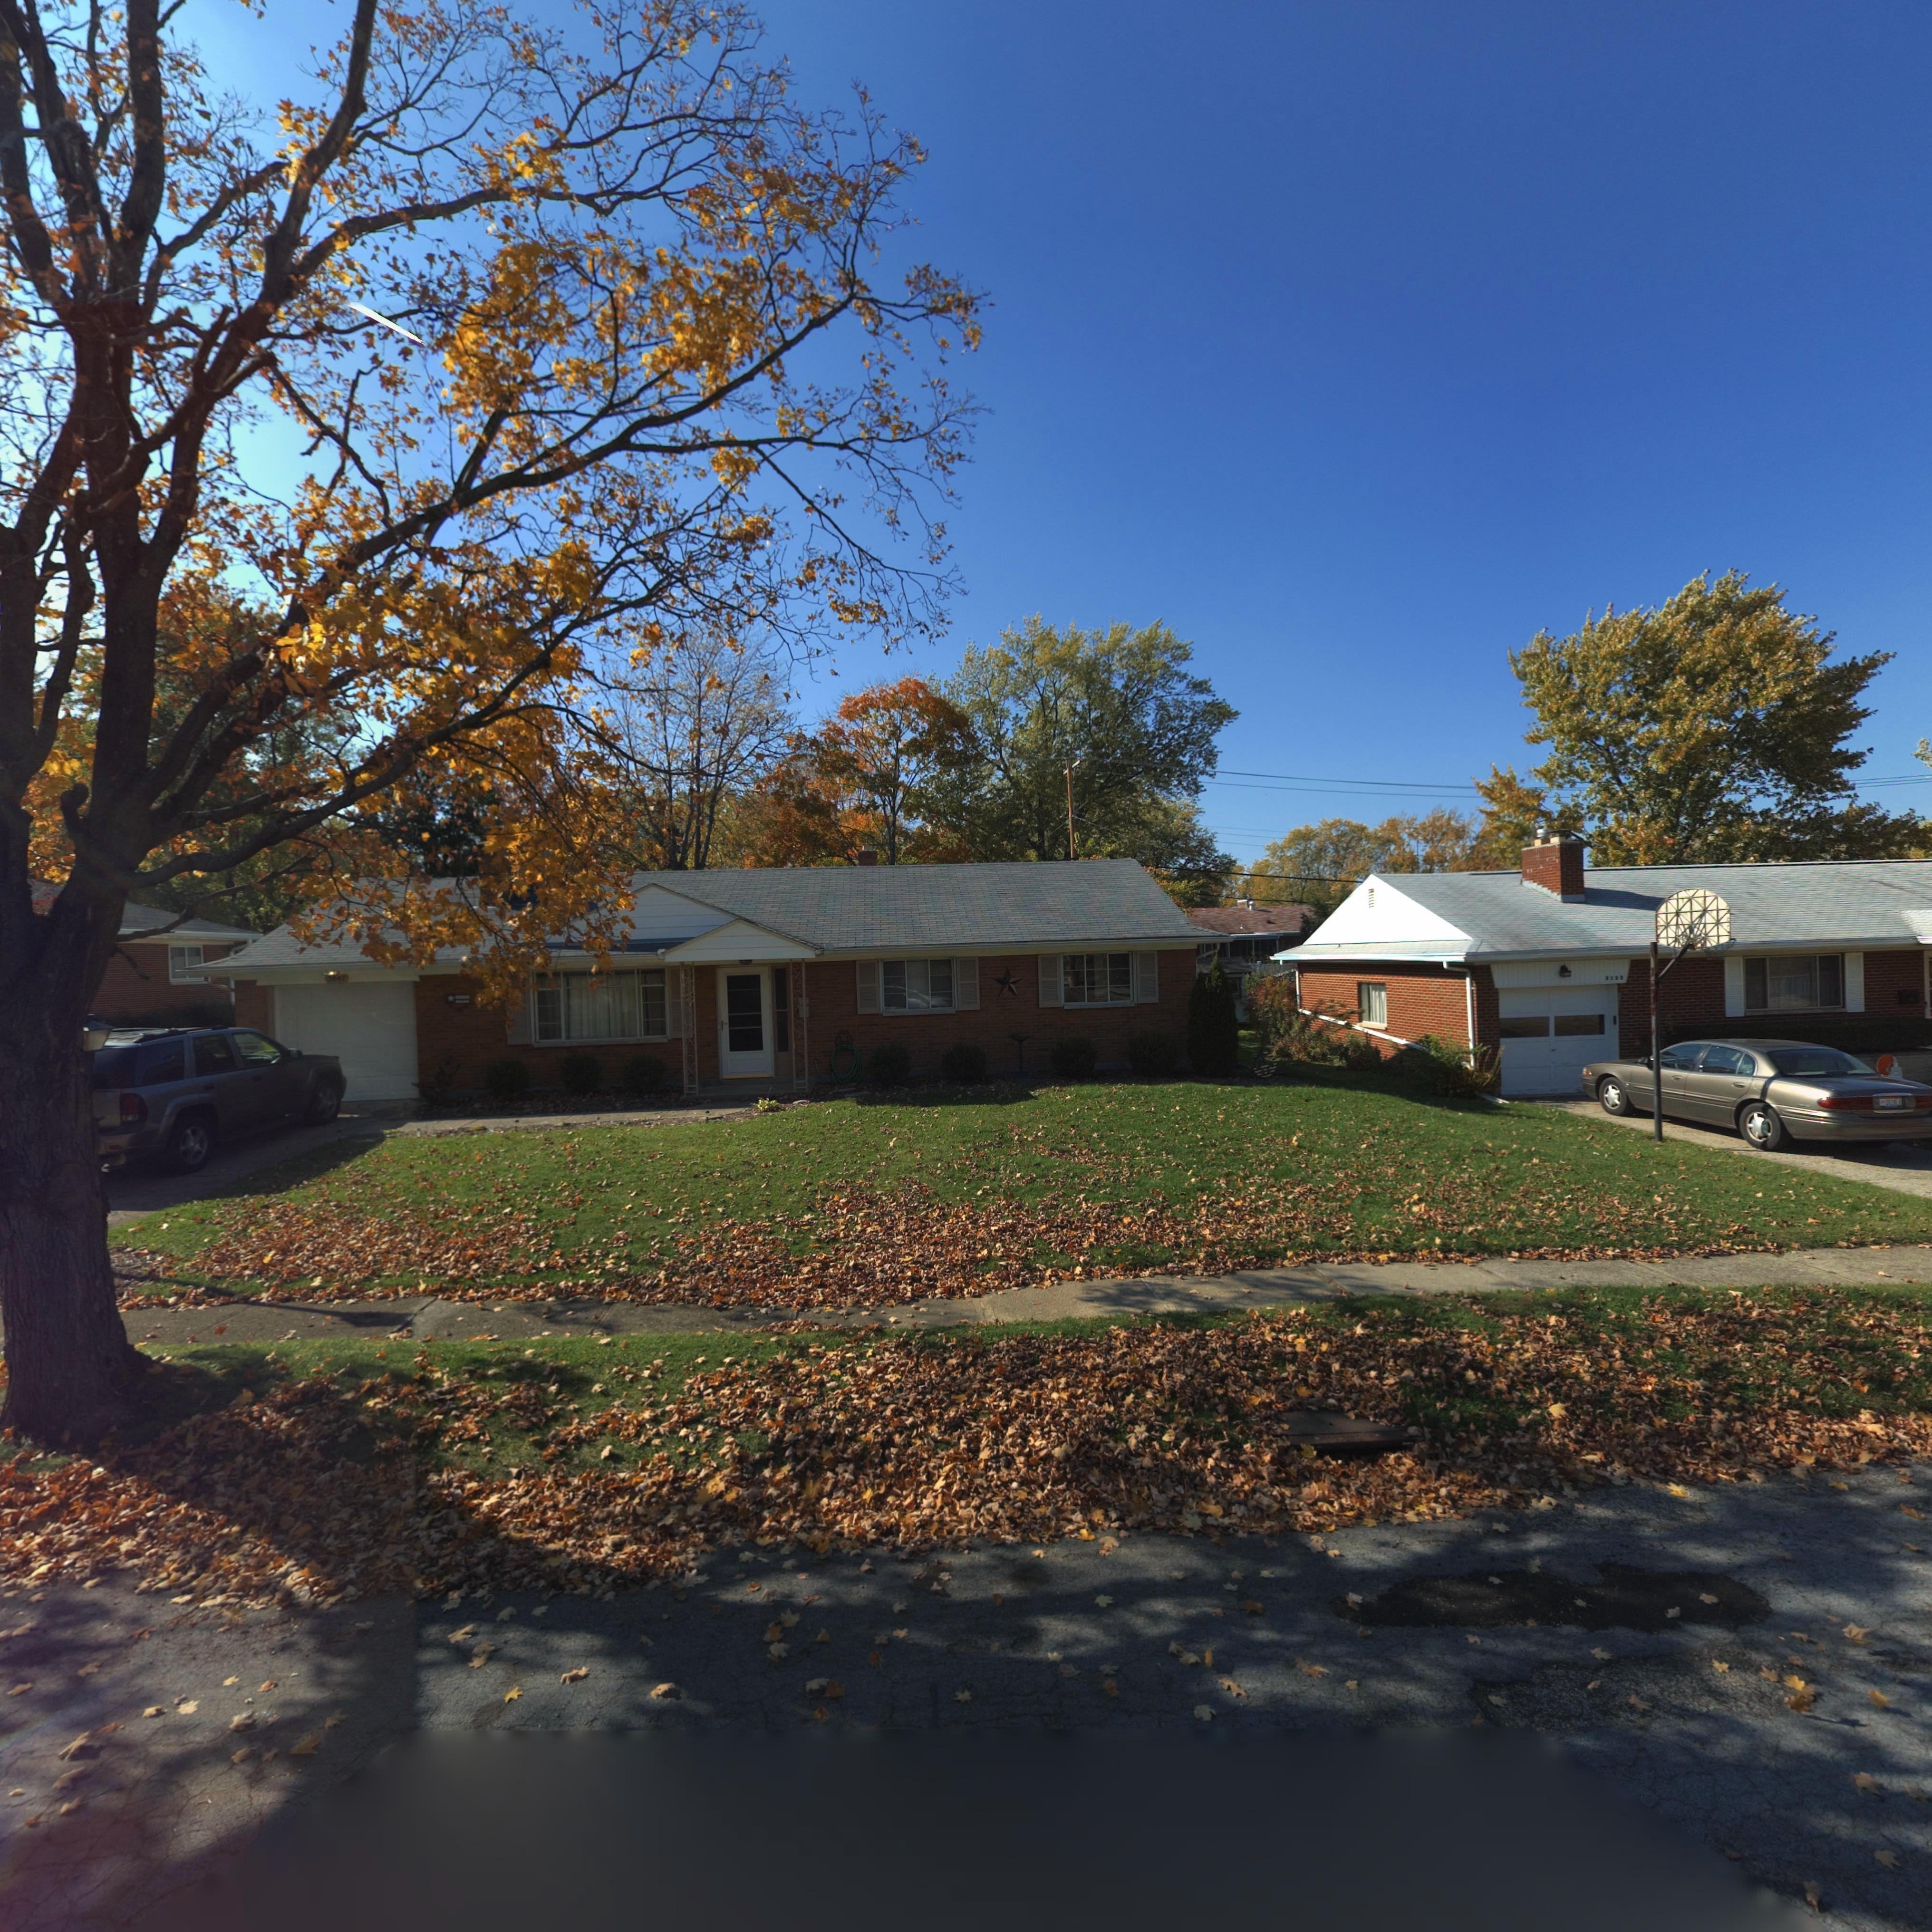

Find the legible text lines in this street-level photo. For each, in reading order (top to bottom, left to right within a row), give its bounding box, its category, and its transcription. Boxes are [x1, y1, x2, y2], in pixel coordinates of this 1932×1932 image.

[327, 975, 346, 982] StreetNumber: 3847
[1604, 976, 1623, 981] StreetNumber: 3833